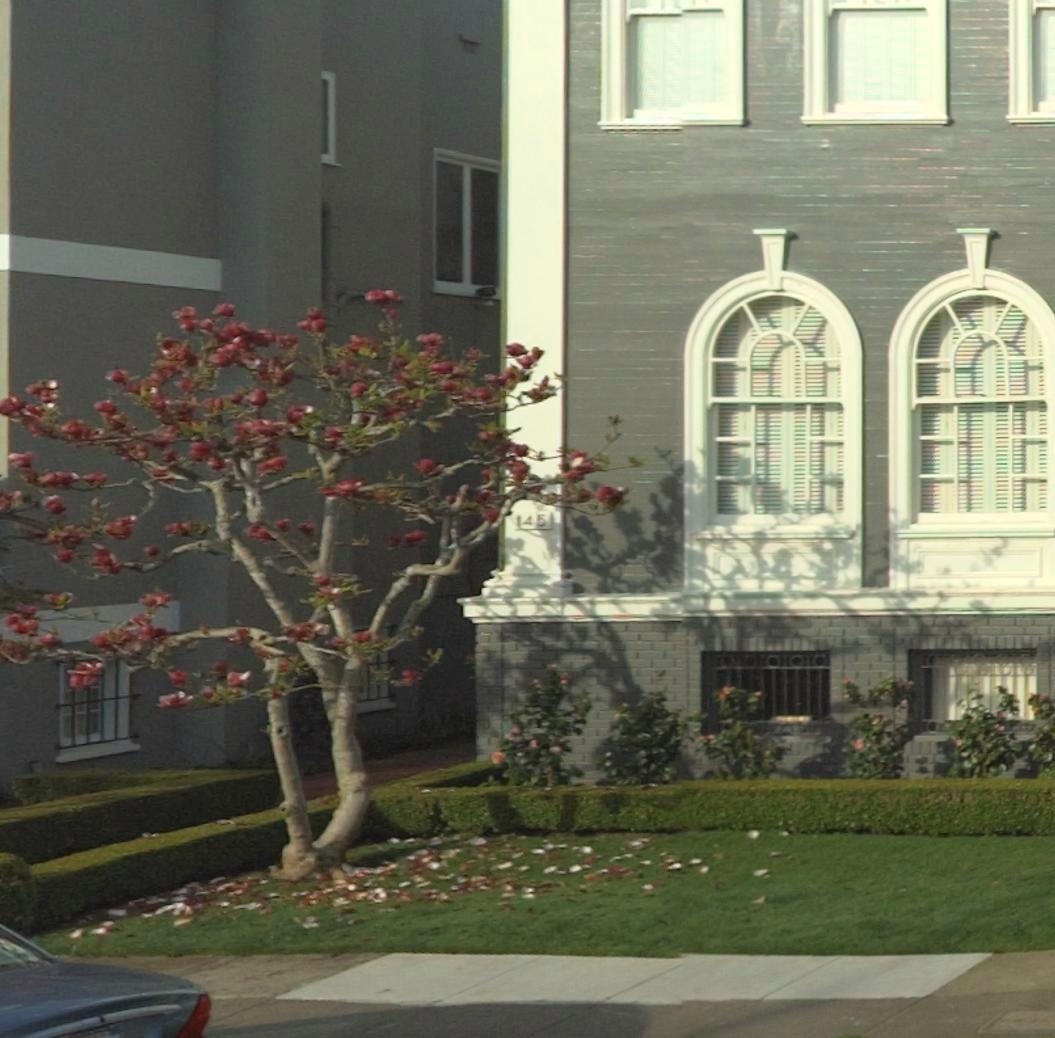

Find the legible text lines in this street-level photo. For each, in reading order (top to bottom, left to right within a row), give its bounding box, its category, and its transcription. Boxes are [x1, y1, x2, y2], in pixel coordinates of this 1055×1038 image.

[513, 512, 548, 530] StreetNumber: 145